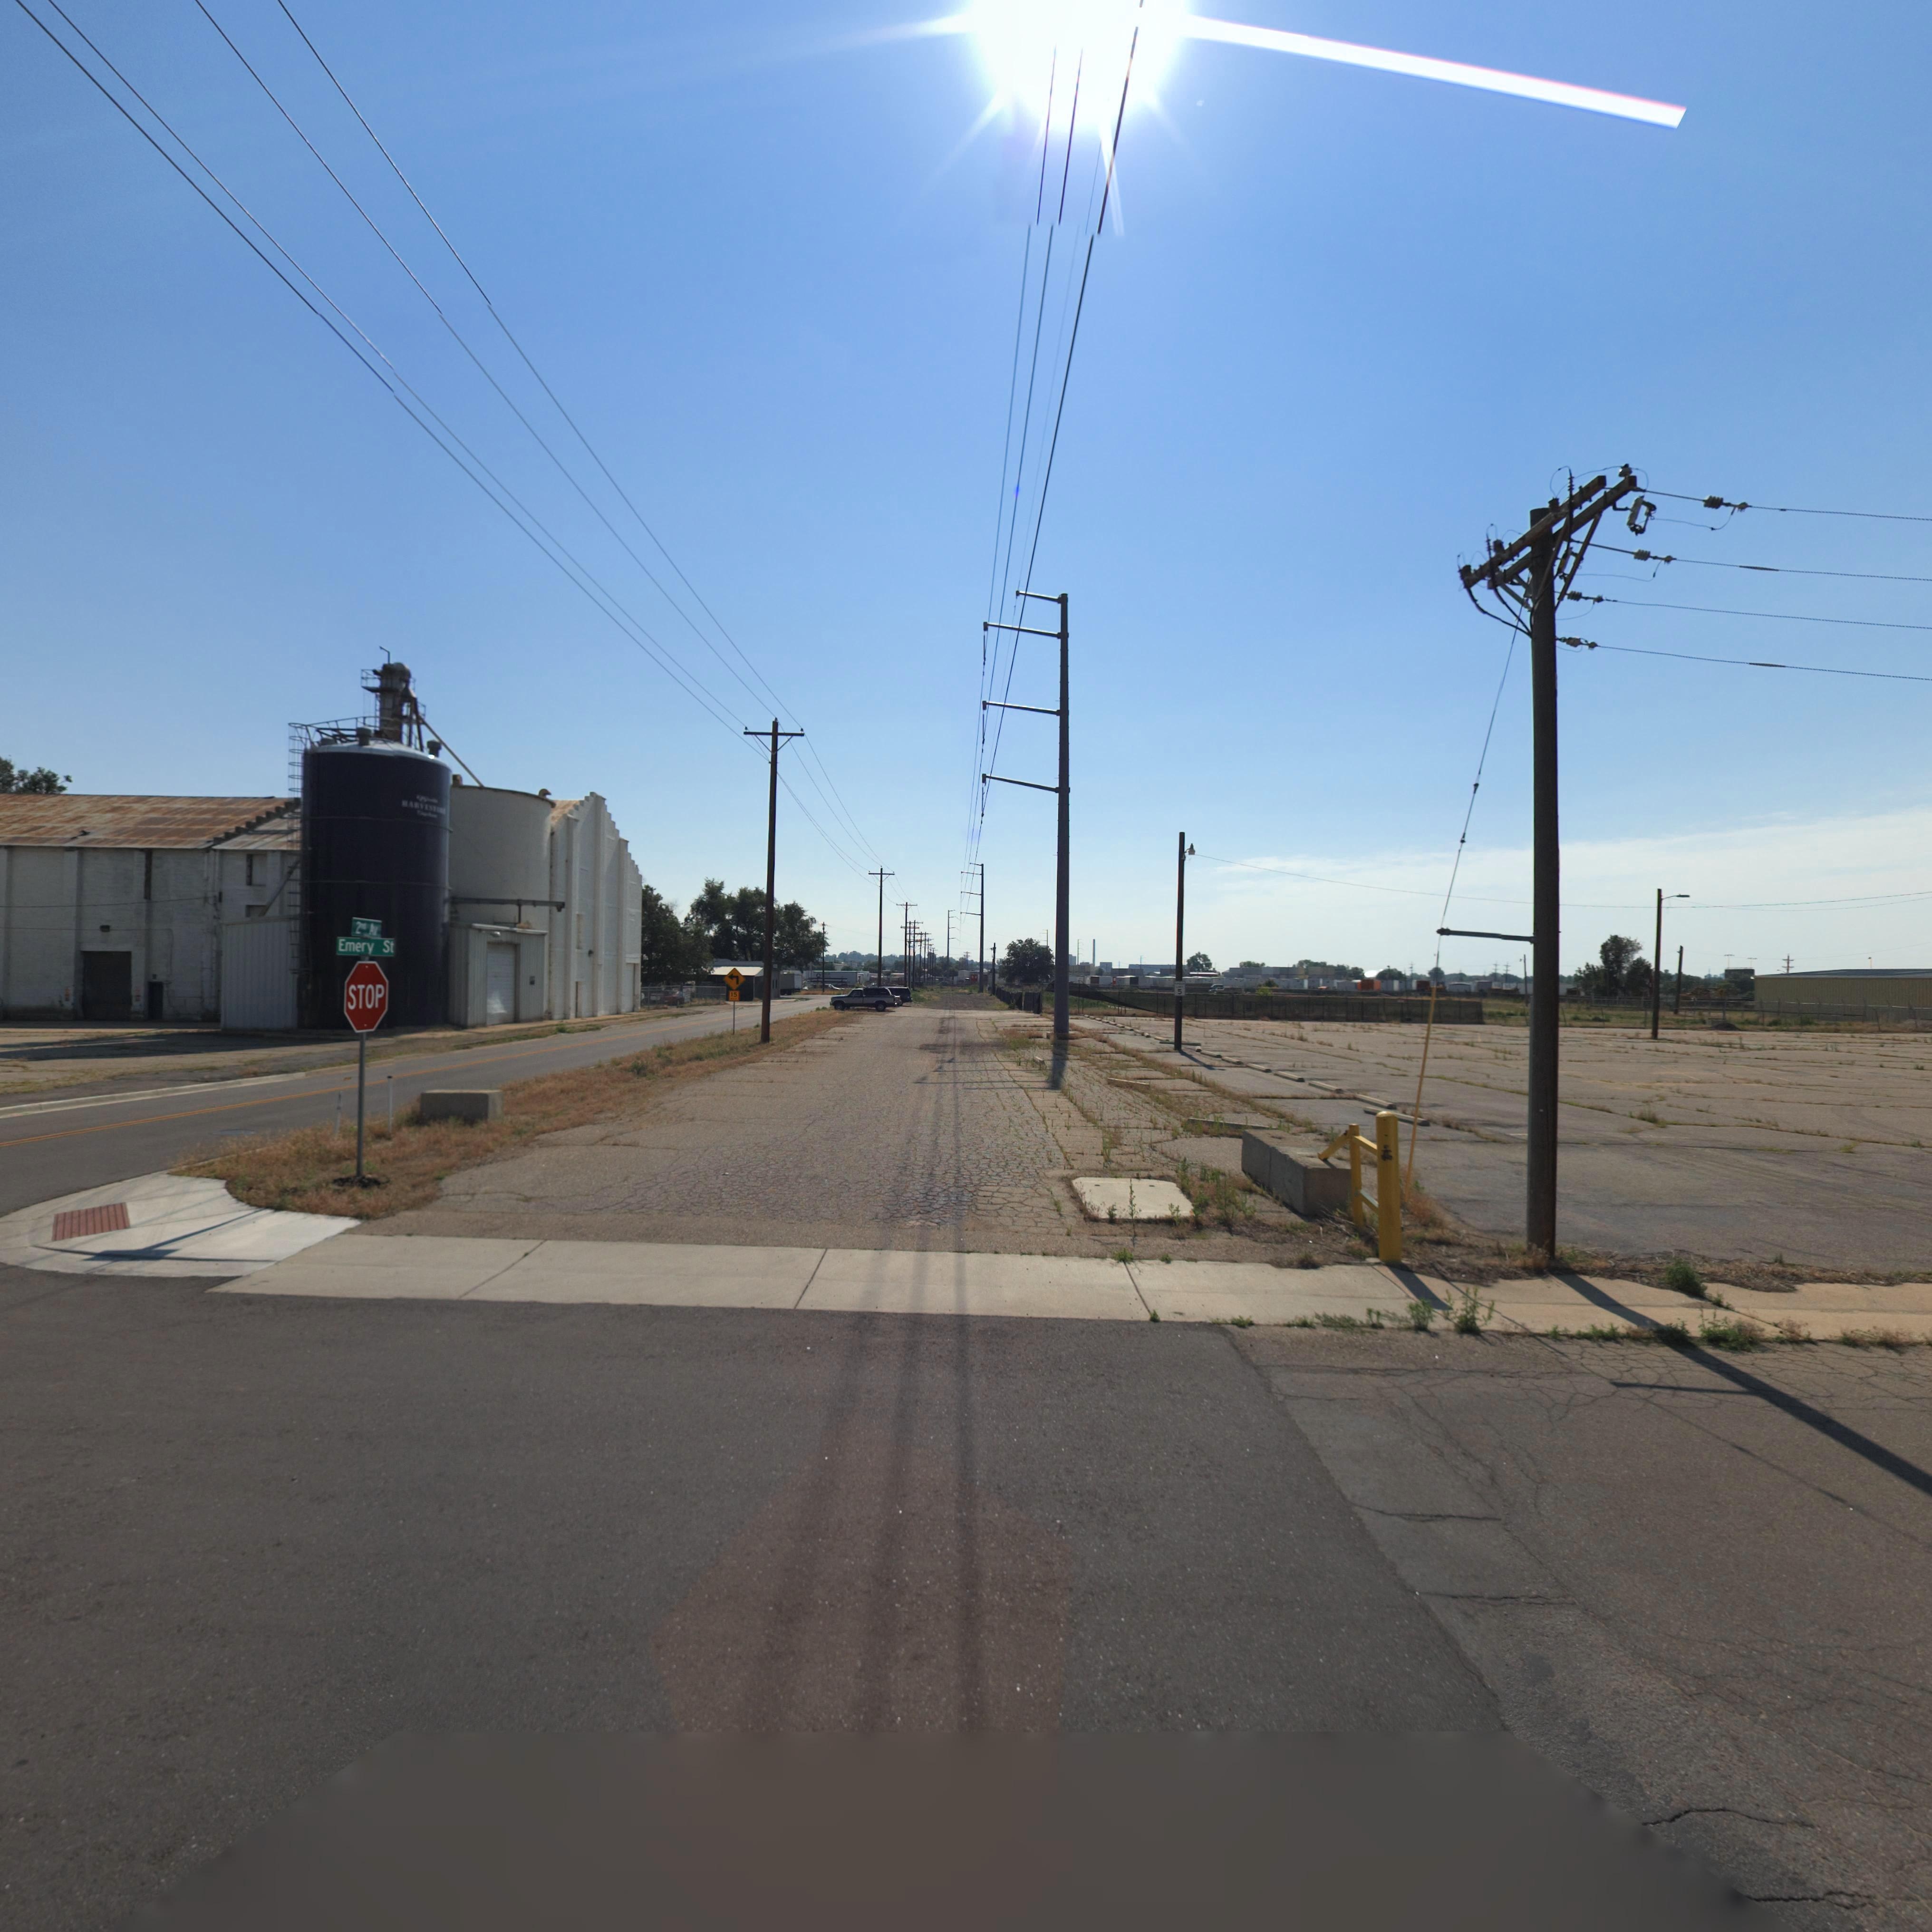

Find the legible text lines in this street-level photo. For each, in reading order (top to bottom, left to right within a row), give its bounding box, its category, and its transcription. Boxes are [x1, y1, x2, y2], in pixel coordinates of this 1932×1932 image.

[355, 920, 379, 937] StreetName: 2nd Av
[338, 938, 394, 955] StreetName: Emery St